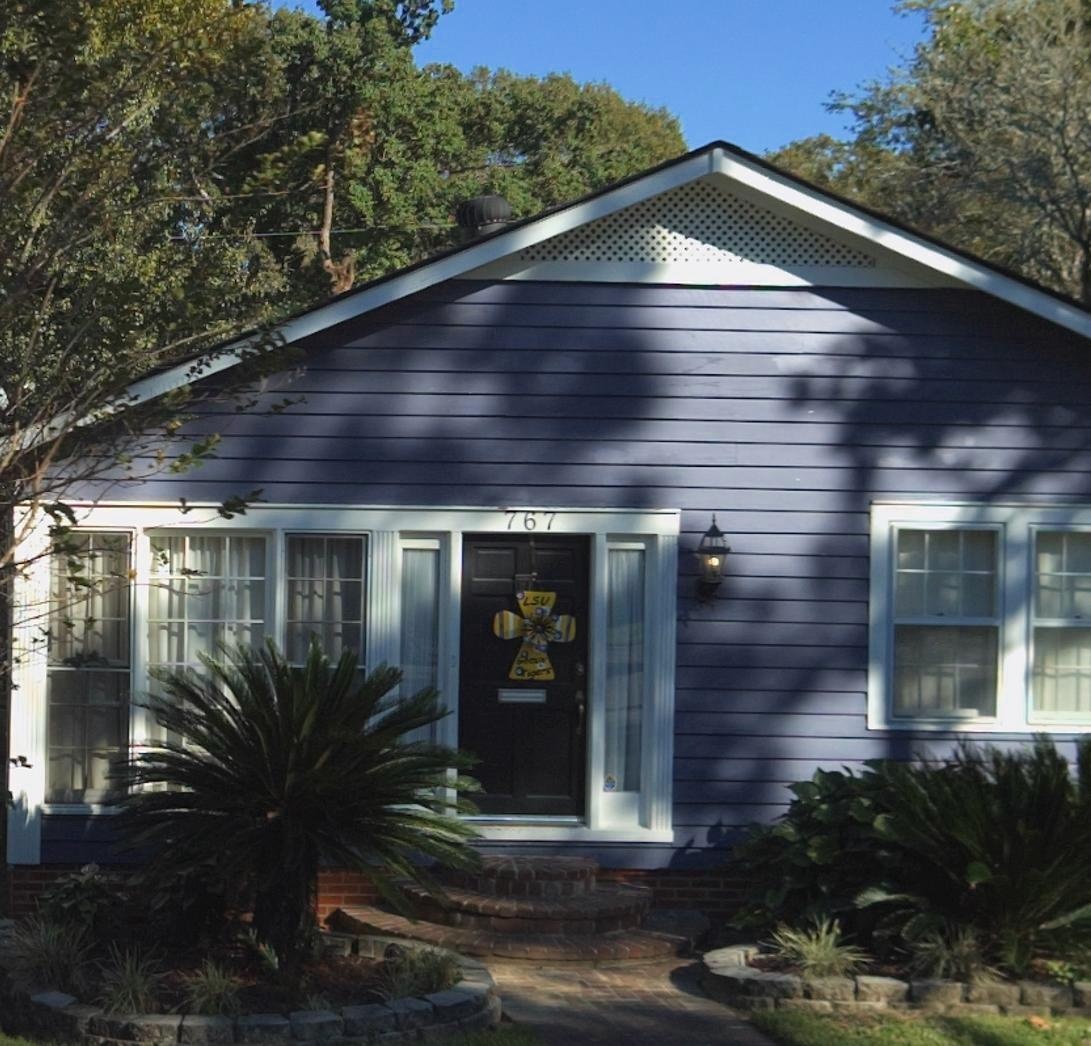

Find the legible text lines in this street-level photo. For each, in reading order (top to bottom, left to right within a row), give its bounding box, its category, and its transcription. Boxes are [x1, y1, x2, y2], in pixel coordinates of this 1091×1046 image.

[501, 508, 561, 533] StreetNumber: 767
[519, 593, 555, 609] None: LSU
[511, 663, 555, 683] None: O*ig**s